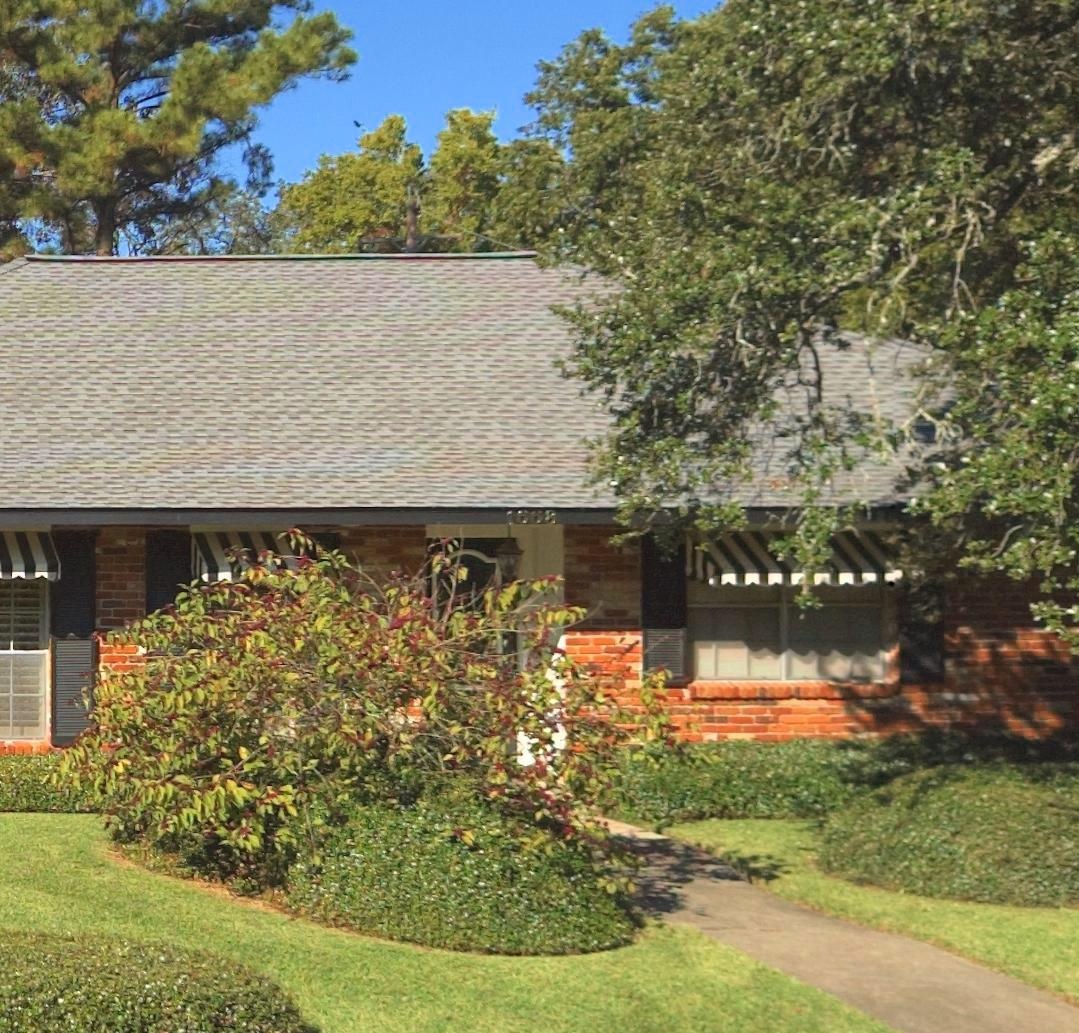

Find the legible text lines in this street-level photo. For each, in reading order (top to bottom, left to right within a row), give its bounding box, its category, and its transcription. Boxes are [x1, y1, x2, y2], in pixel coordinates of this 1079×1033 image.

[503, 507, 559, 527] StreetNumber: 1668